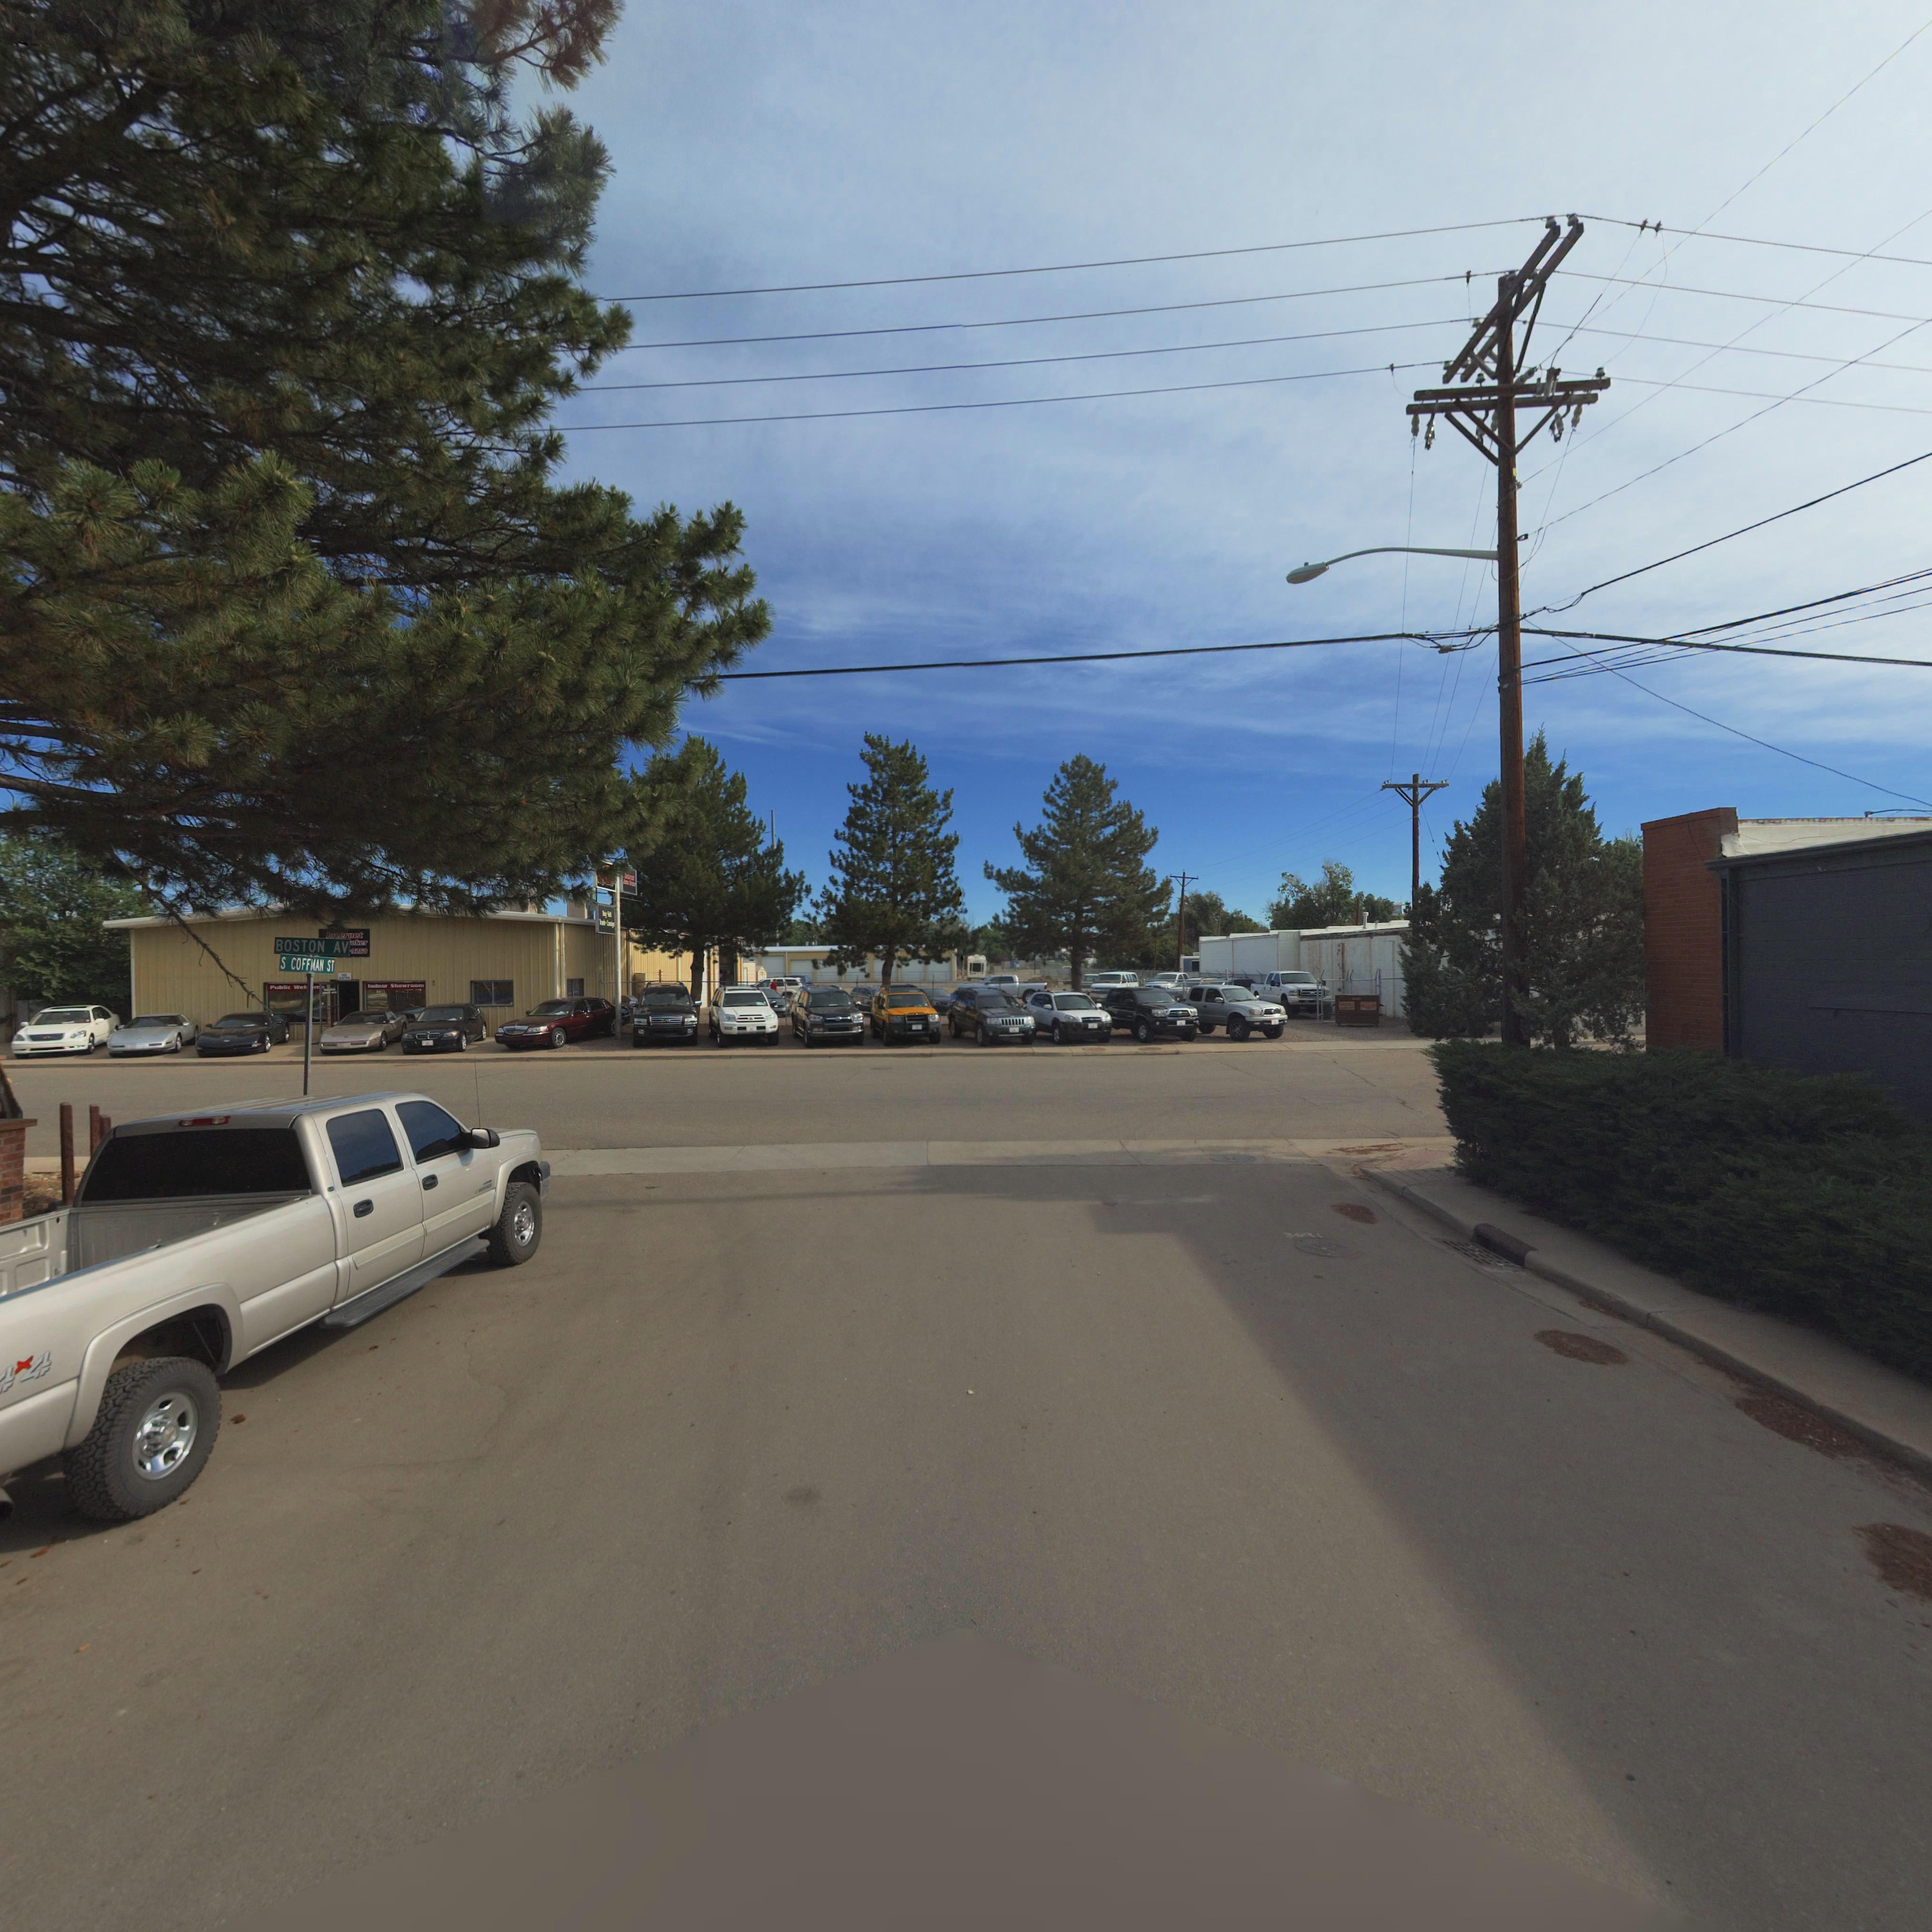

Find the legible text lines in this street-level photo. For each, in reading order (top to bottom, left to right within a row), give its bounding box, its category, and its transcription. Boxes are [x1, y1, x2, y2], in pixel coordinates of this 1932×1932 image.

[275, 937, 349, 954] StreetName: BOSTON AV
[325, 931, 363, 938] BusinessName: In*ernet
[350, 939, 368, 945] BusinessName: *oker
[279, 954, 335, 972] StreetName: S COFFMAN ST